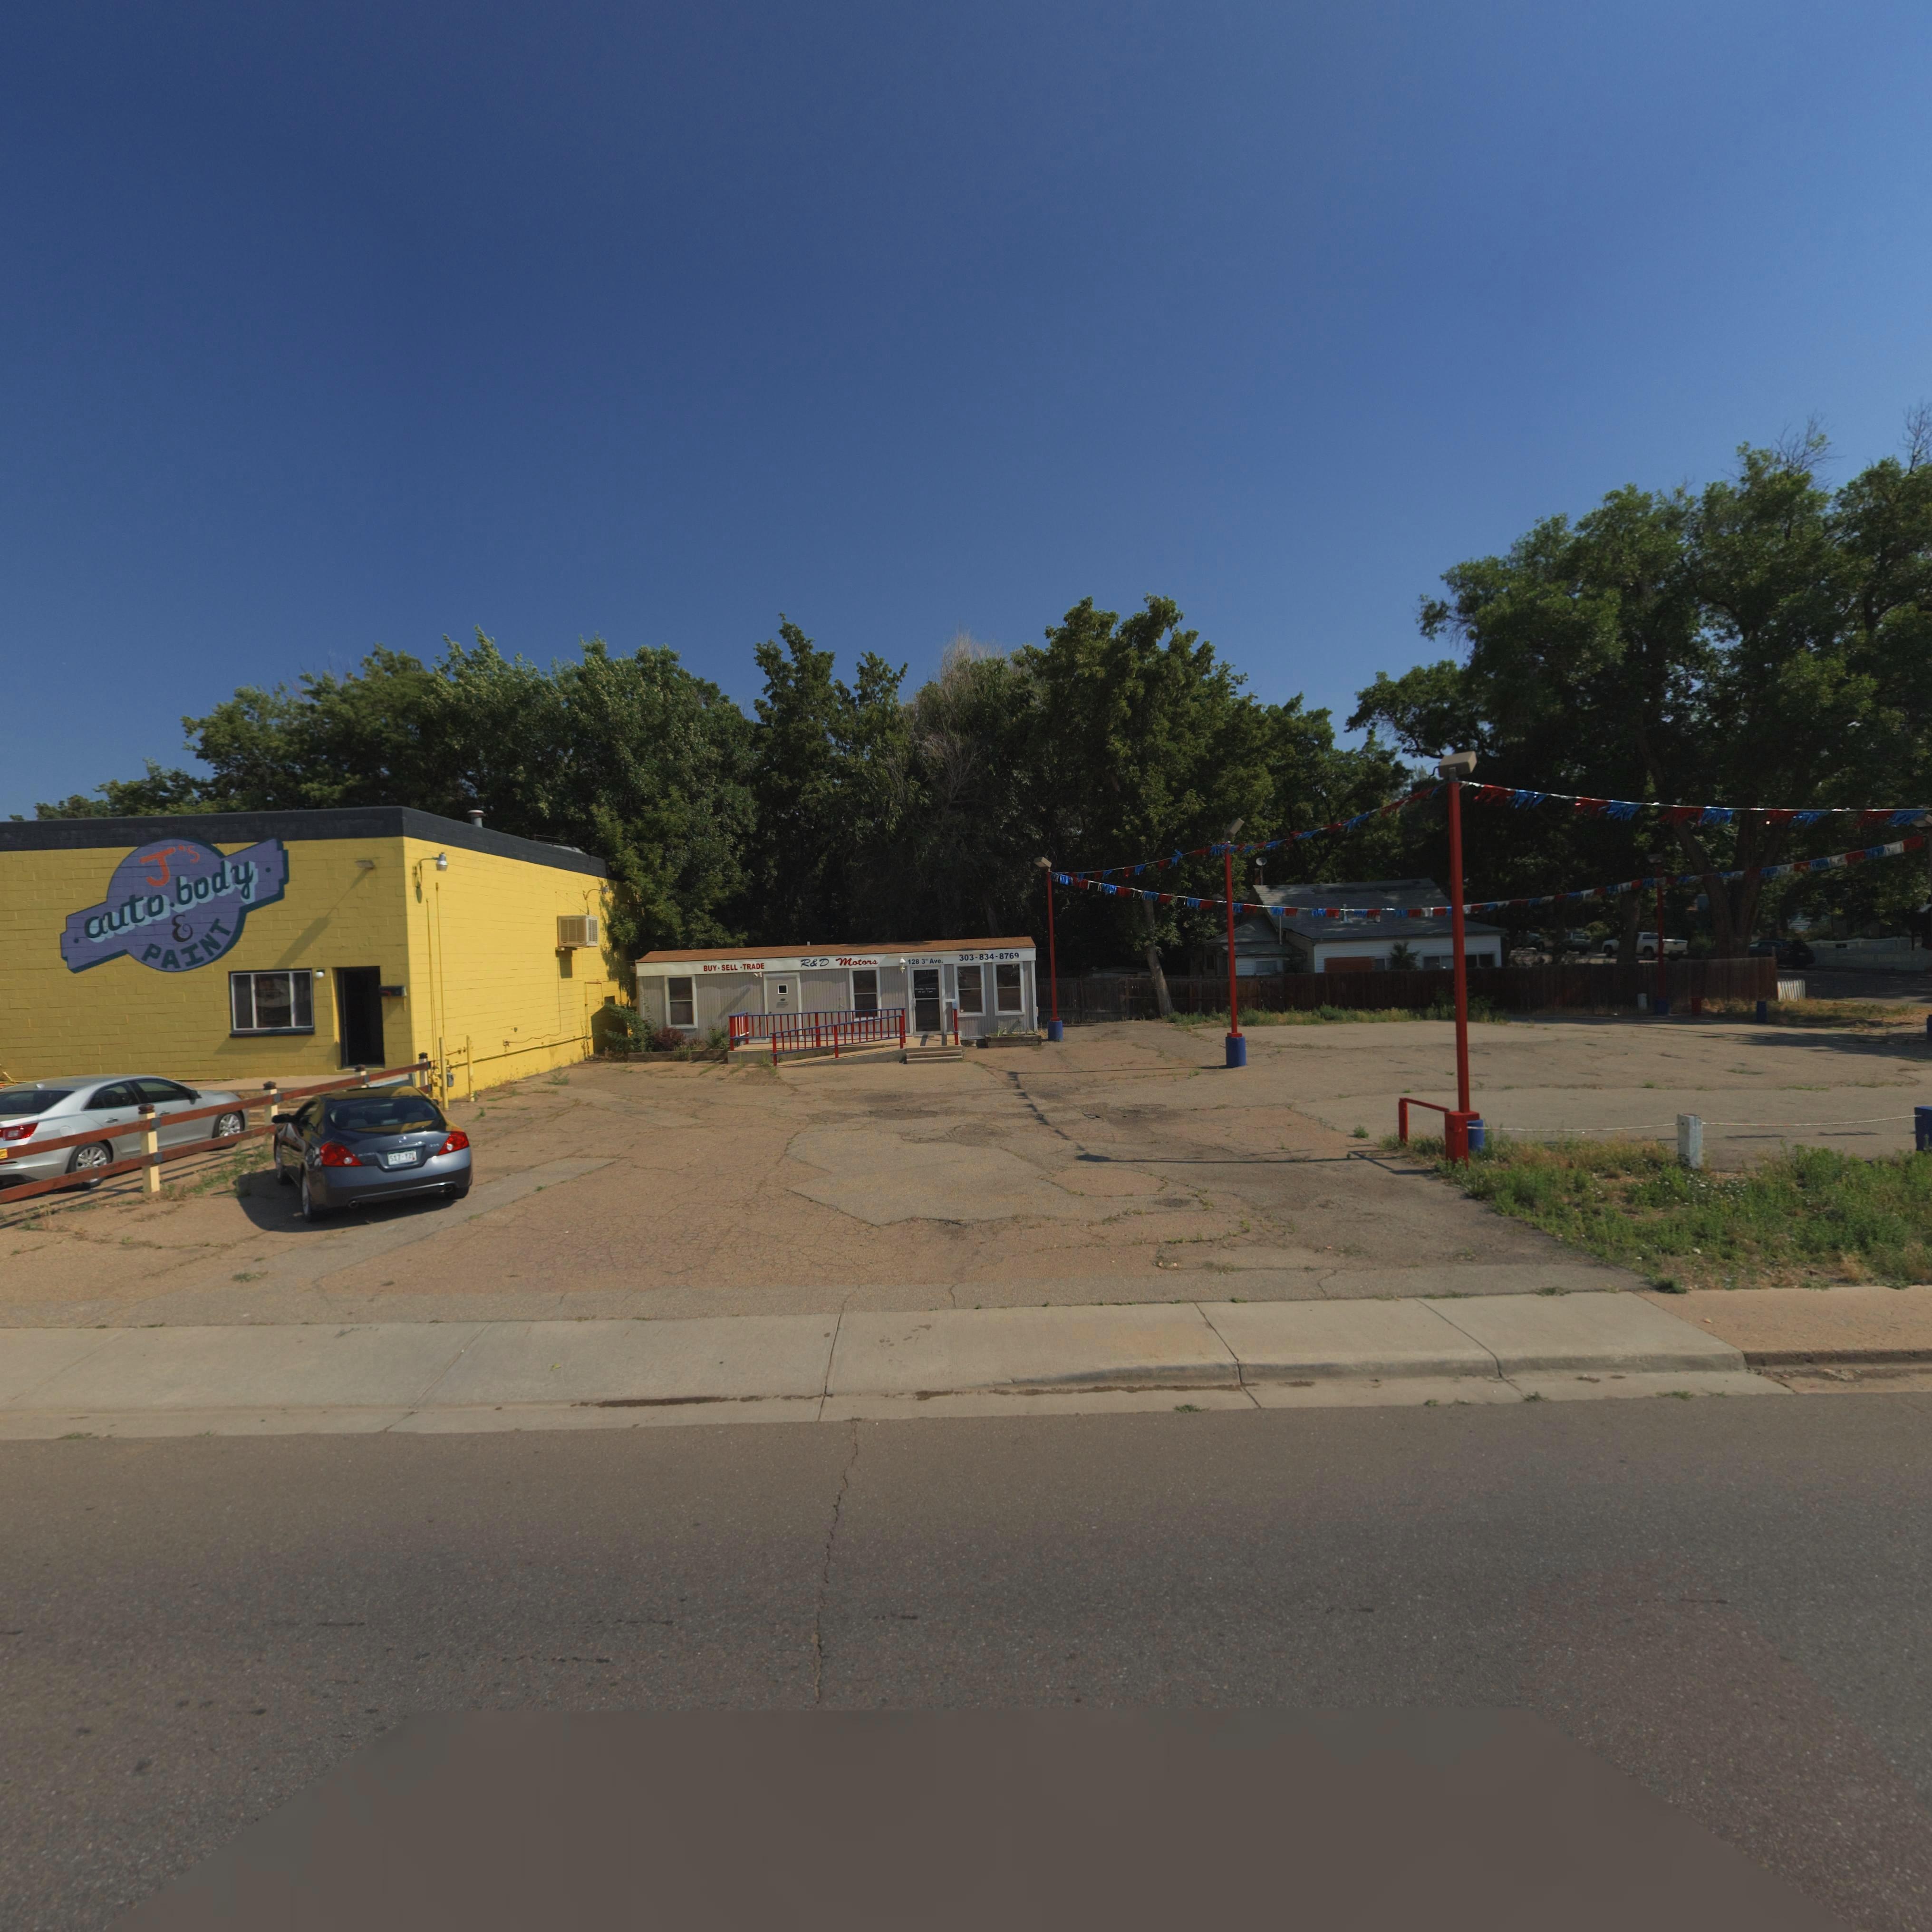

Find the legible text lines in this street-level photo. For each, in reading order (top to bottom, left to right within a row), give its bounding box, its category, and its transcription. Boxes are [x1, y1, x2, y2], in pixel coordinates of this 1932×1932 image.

[138, 843, 201, 888] BusinessName: J's
[83, 859, 259, 943] BusinessName: auto*body
[140, 917, 232, 970] BusinessName: PAINT
[800, 957, 830, 967] BusinessName: R*D
[835, 957, 879, 966] BusinessName: Motors
[907, 958, 919, 965] StreetNumber: 128
[921, 957, 942, 964] StreetName: 3* Ave